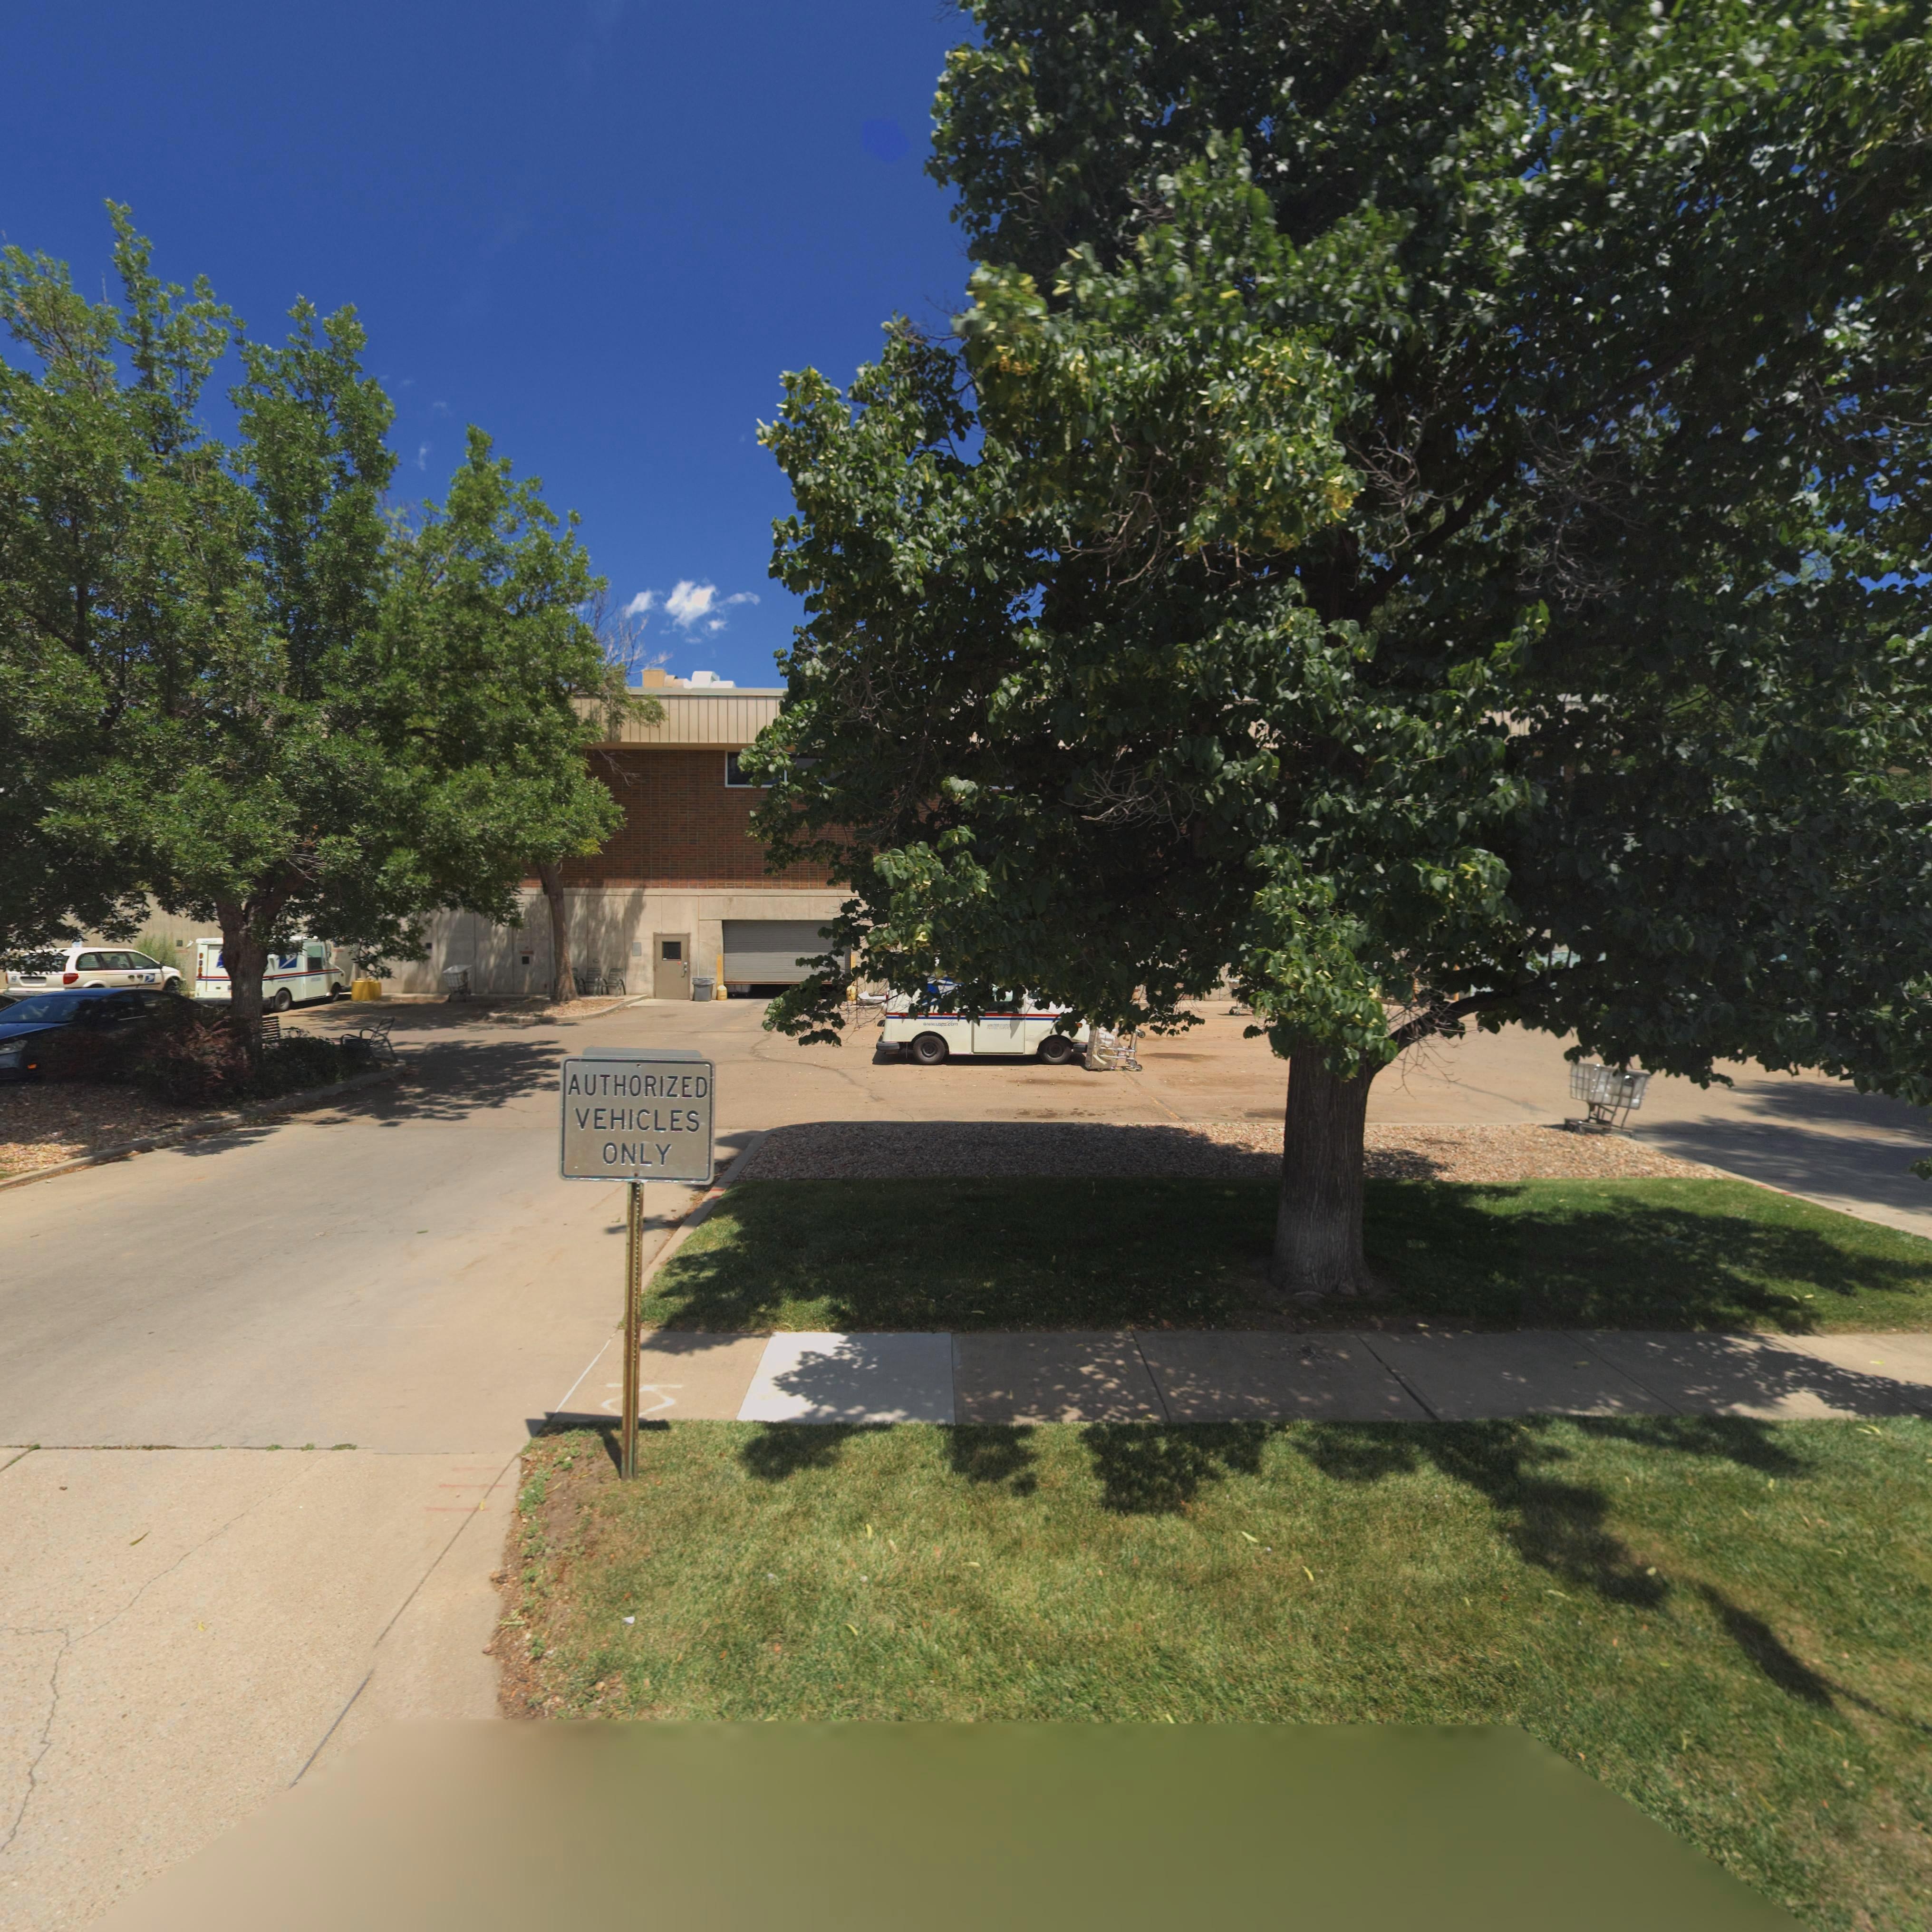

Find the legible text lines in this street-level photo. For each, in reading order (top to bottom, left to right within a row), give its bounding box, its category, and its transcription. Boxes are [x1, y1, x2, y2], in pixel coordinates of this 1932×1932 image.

[575, 1108, 699, 1131] None: VEHICLES